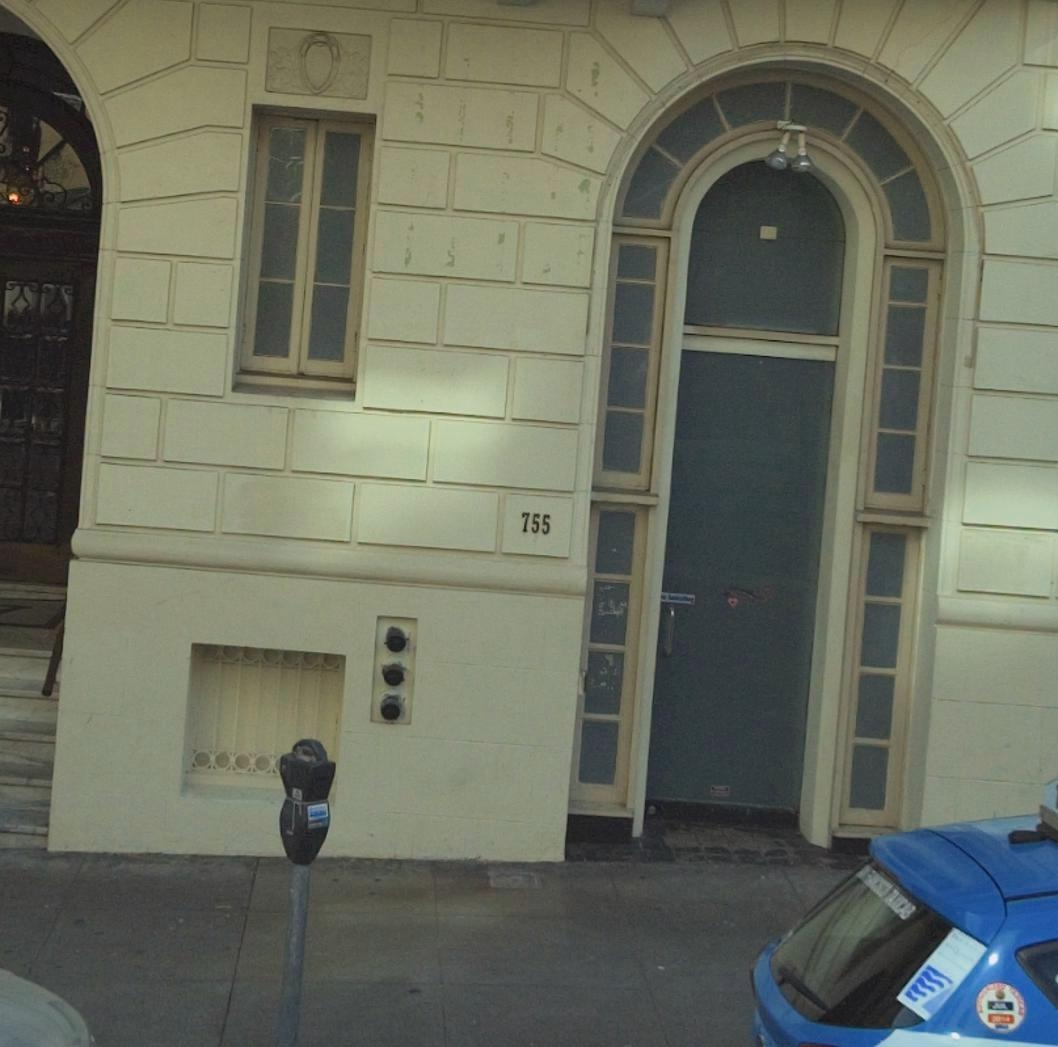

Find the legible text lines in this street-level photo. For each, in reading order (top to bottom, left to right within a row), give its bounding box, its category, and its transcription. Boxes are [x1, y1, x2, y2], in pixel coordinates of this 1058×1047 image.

[518, 508, 554, 538] StreetNumber: 755